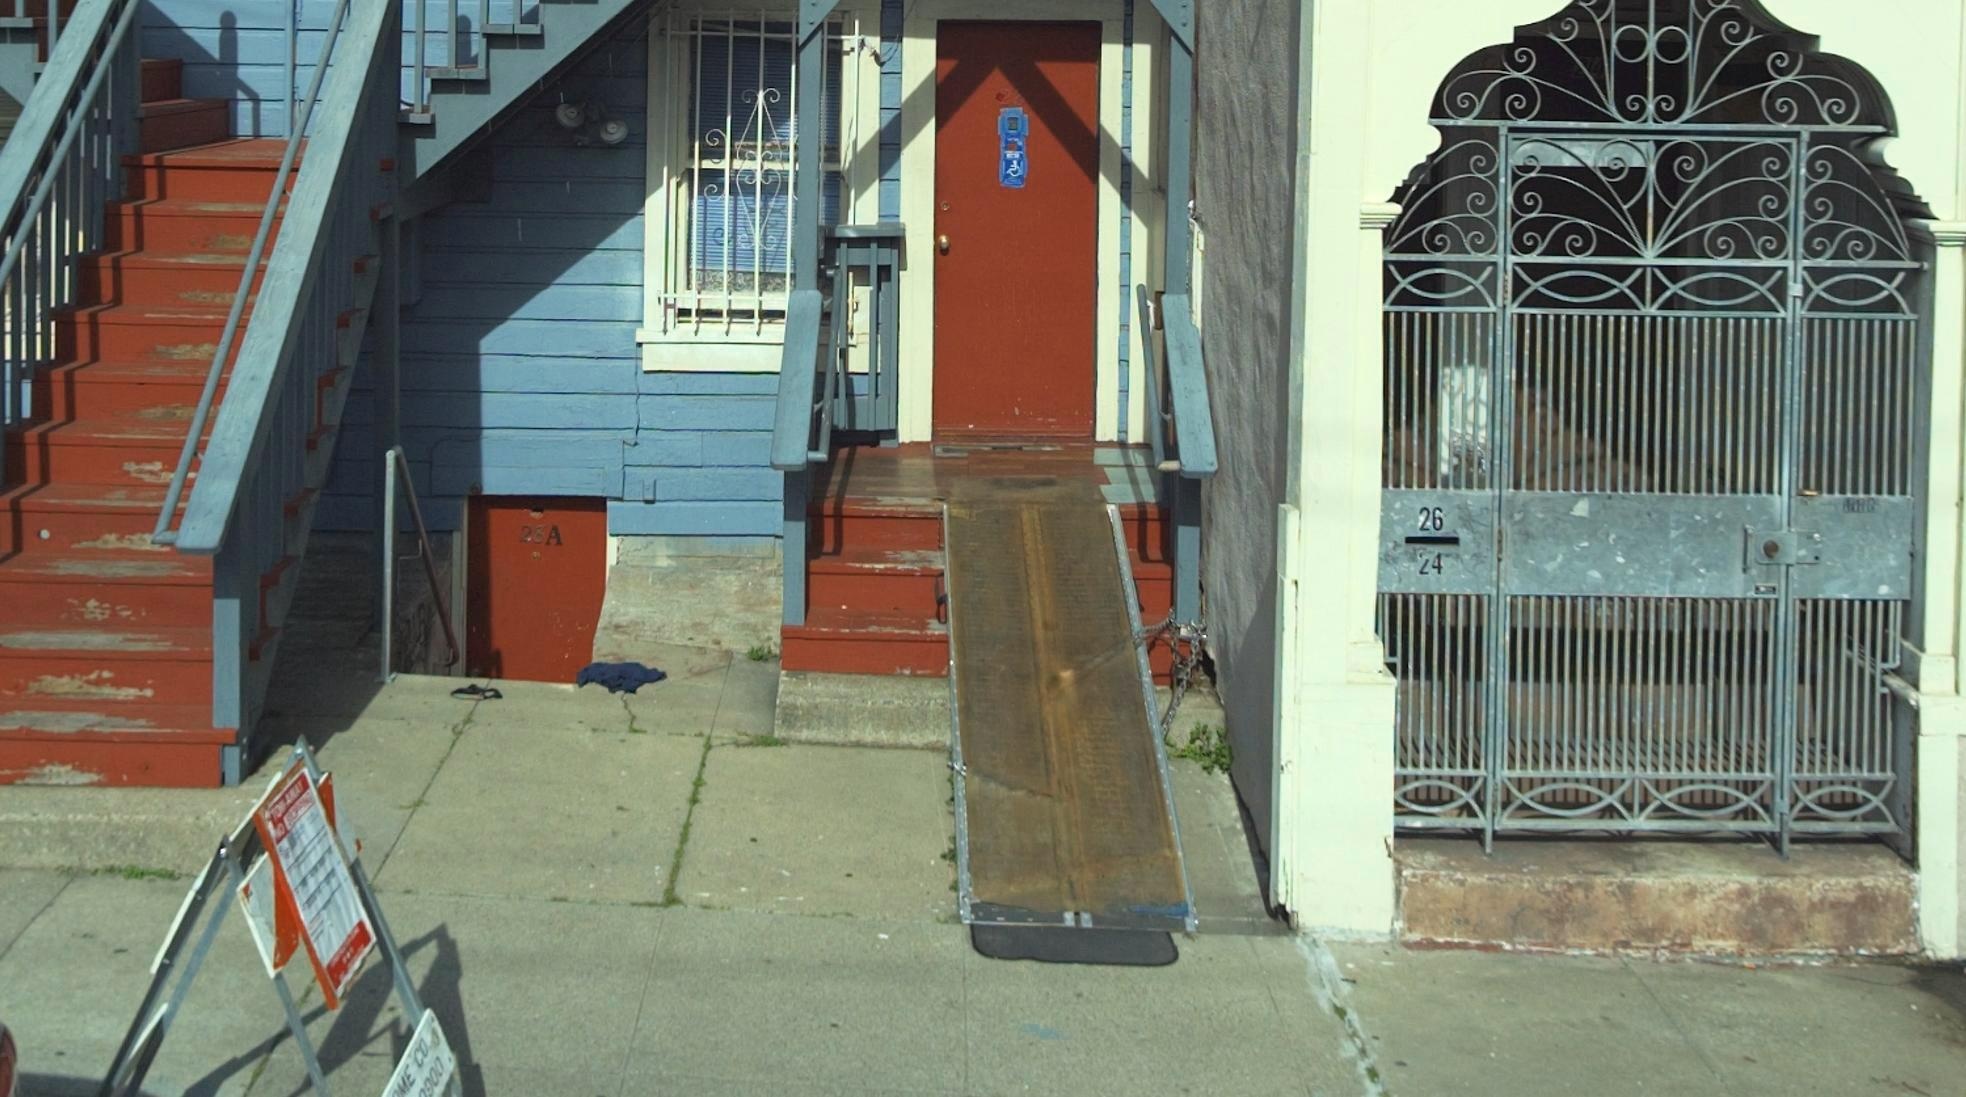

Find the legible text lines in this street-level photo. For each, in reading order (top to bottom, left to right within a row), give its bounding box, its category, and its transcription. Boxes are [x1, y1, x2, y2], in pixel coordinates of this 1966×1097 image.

[516, 520, 568, 552] StreetNumber: 28A
[1415, 503, 1449, 536] StreetNumber: 26
[1429, 549, 1448, 578] None: 4
[397, 1028, 434, 1097] None: E CO
[422, 1051, 449, 1095] None: 00